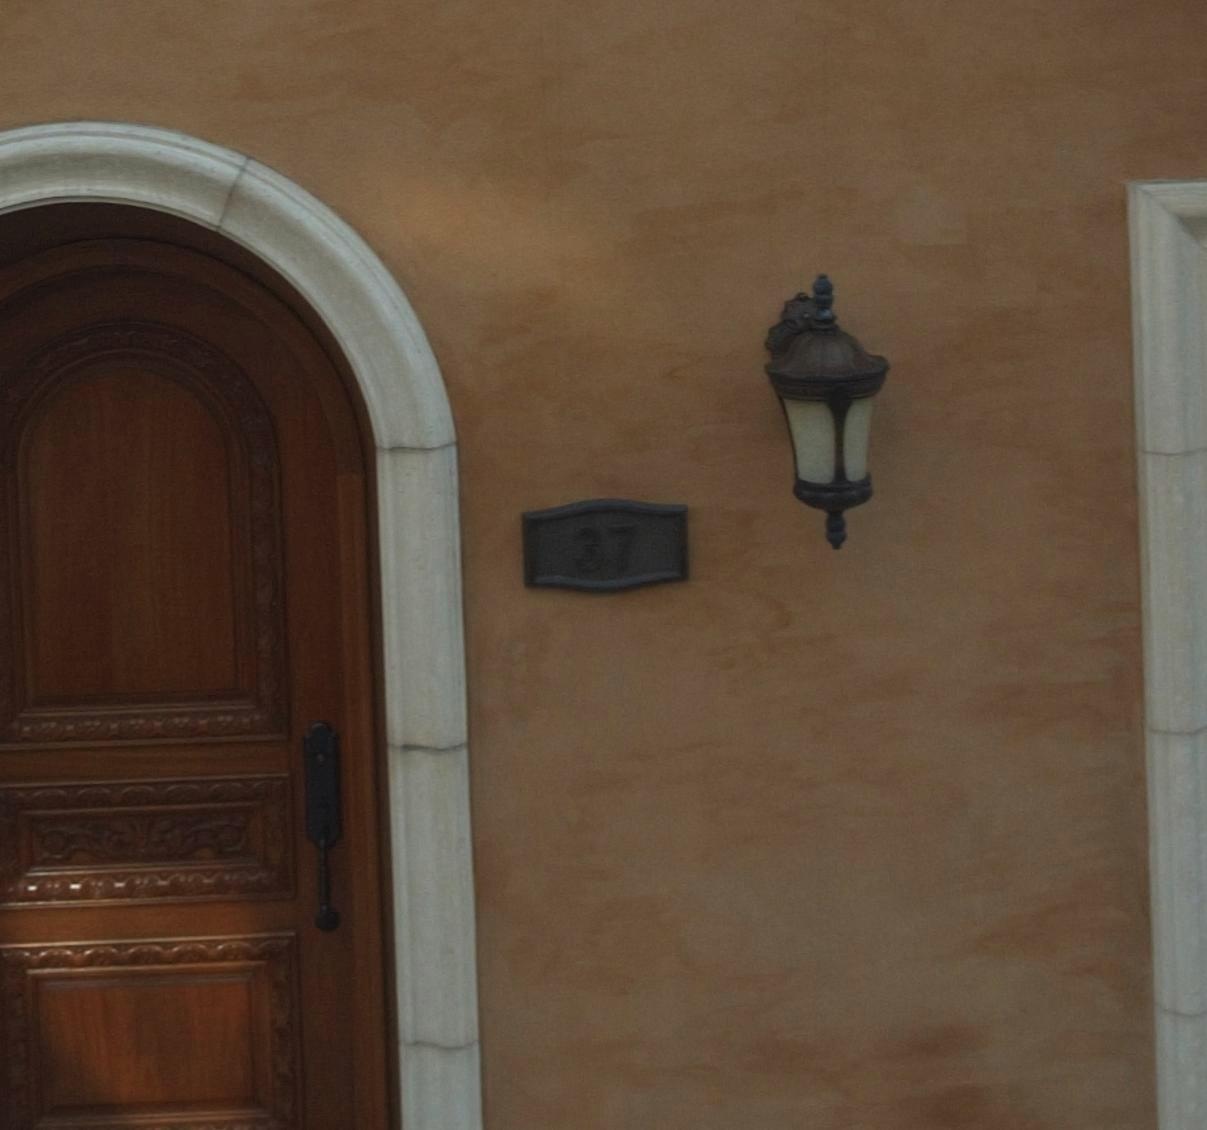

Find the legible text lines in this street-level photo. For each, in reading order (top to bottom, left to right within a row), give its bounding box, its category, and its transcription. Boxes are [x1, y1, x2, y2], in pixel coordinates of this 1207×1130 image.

[571, 523, 642, 577] StreetNumber: 37